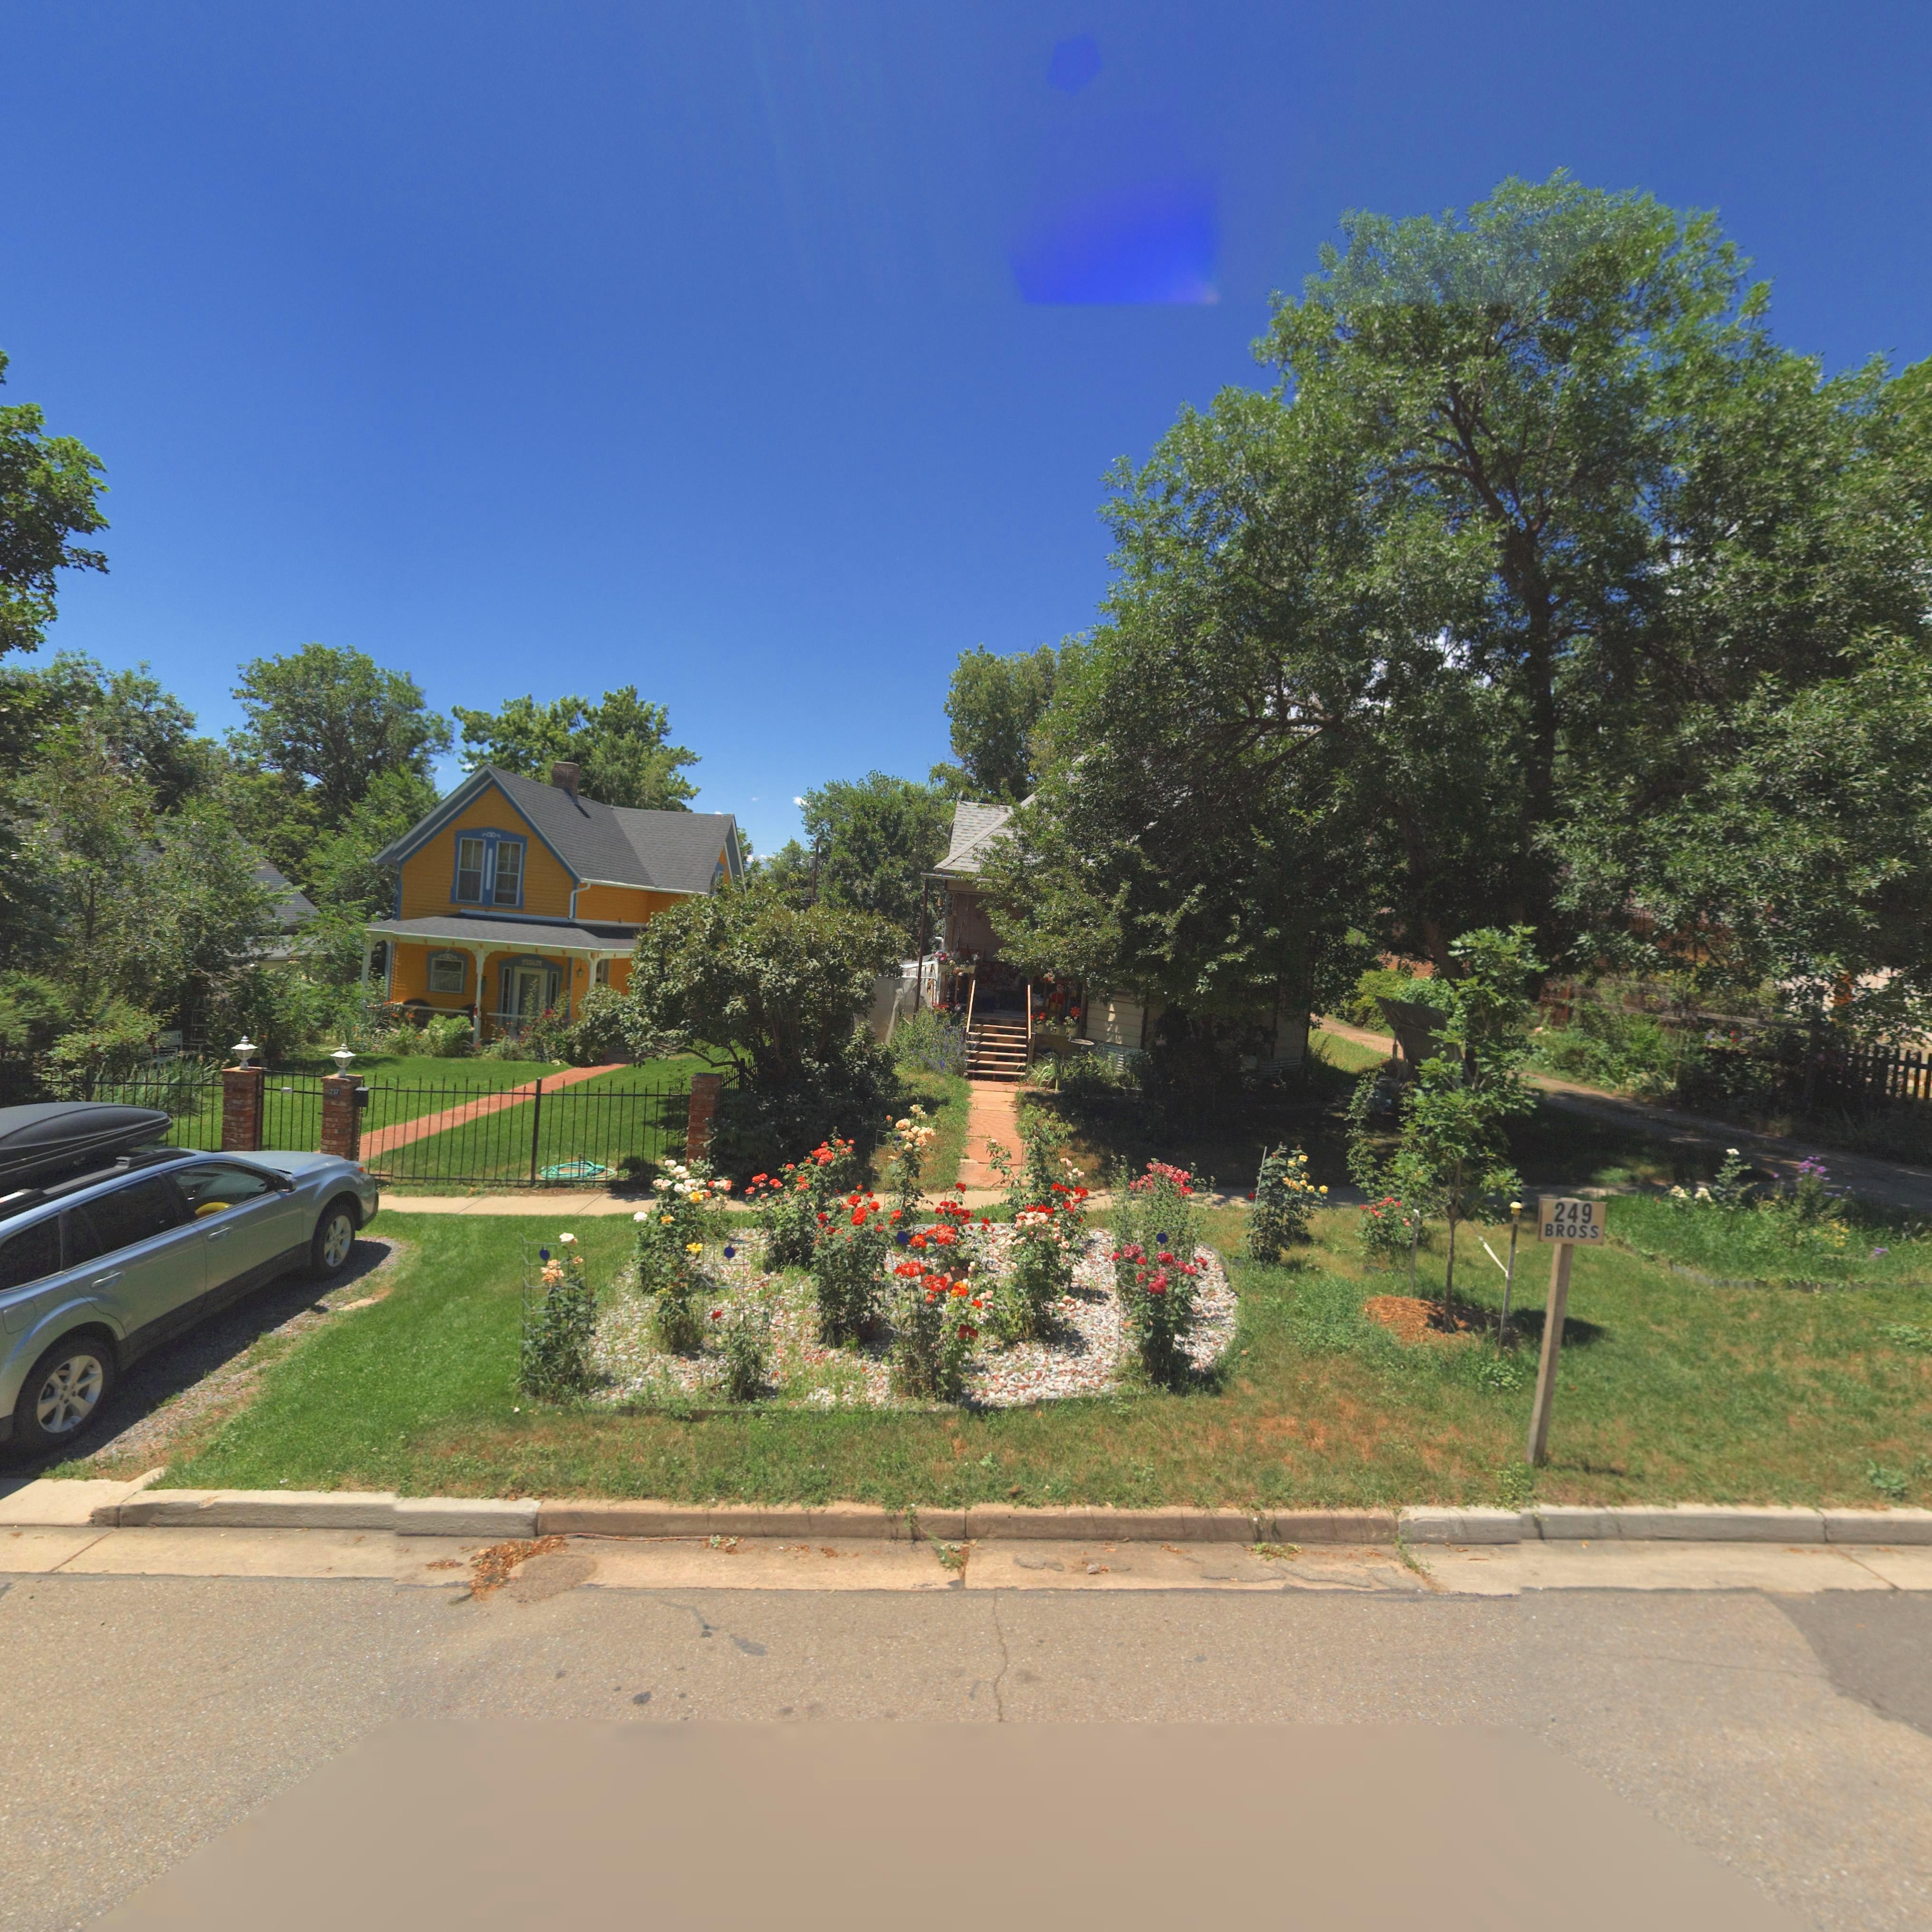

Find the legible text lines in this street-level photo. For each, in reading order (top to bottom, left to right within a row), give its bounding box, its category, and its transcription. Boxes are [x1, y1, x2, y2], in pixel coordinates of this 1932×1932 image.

[947, 893, 953, 917] StreetNumber: 249
[328, 1089, 340, 1094] StreetNumber: 237
[1553, 1201, 1593, 1224] StreetNumber: 249
[1544, 1223, 1599, 1239] StreetName: BROSS